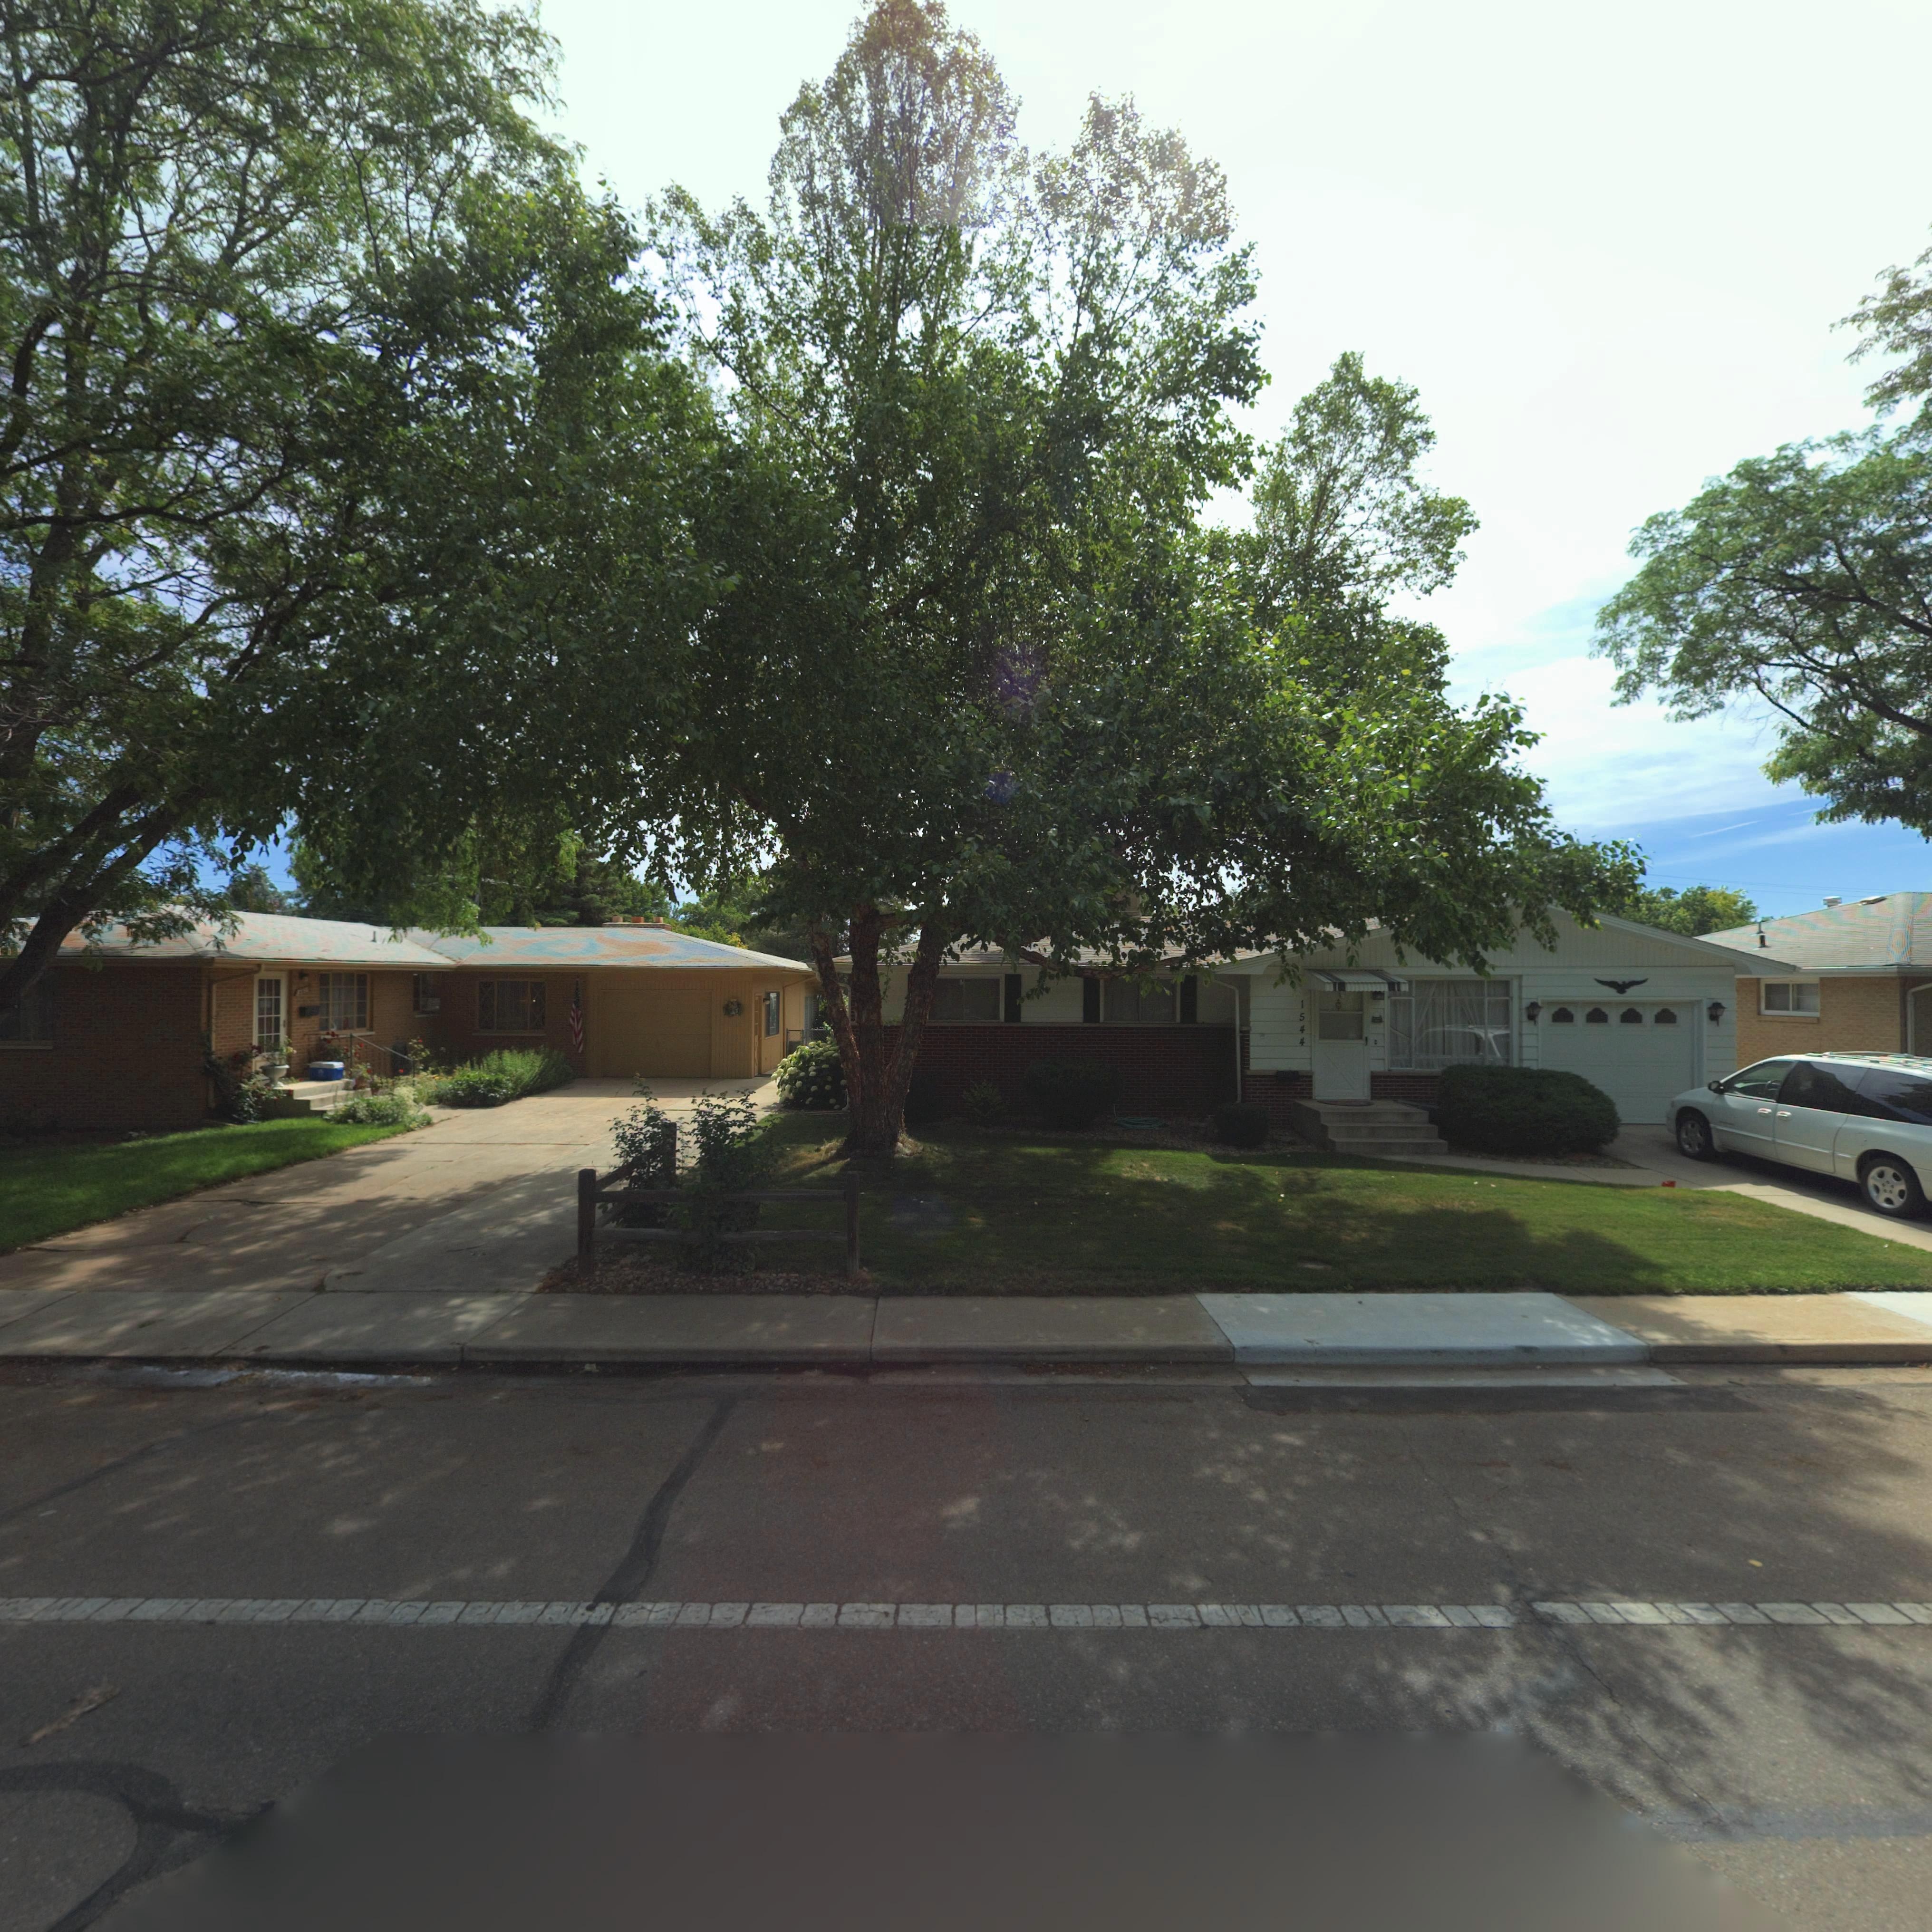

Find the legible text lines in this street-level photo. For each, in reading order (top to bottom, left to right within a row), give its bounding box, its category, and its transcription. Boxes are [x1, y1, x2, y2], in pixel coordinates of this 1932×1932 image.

[1298, 999, 1305, 1048] StreetNumber: 1544